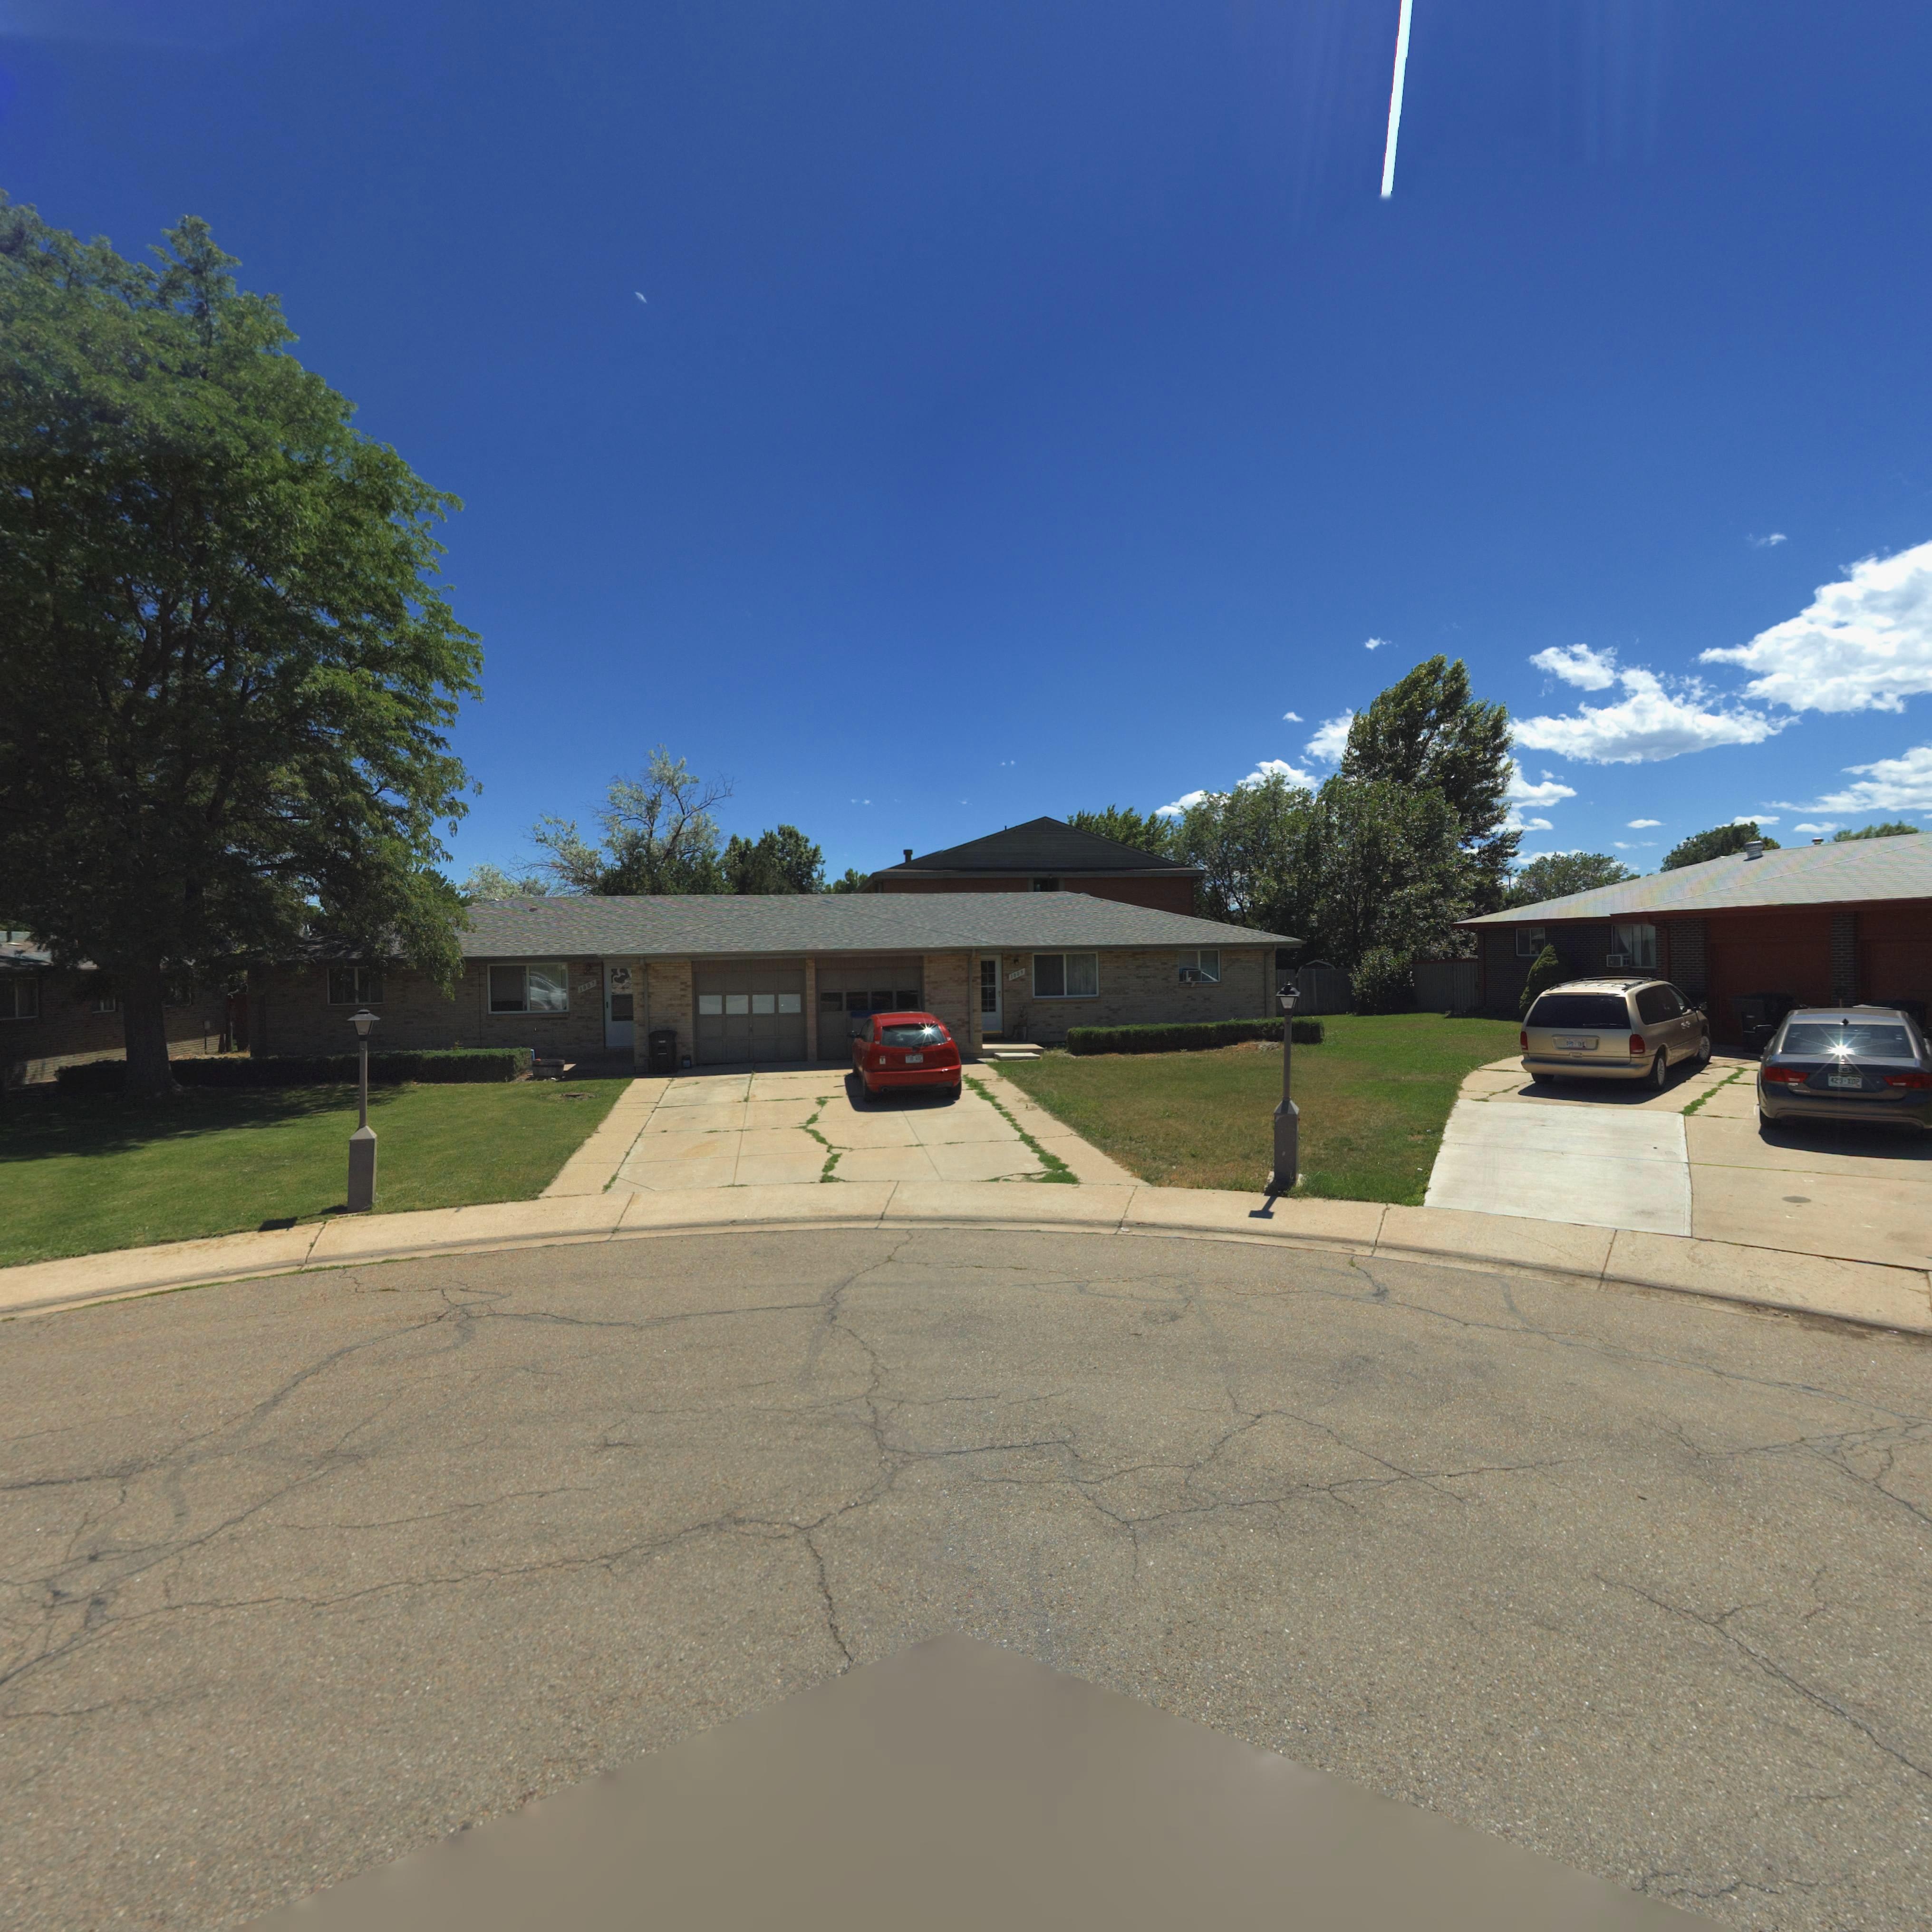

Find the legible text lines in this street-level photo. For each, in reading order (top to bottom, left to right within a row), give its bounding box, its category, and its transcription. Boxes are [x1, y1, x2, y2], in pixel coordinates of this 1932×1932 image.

[1011, 969, 1023, 979] StreetNumber: 1009
[579, 980, 595, 992] StreetNumber: 1007